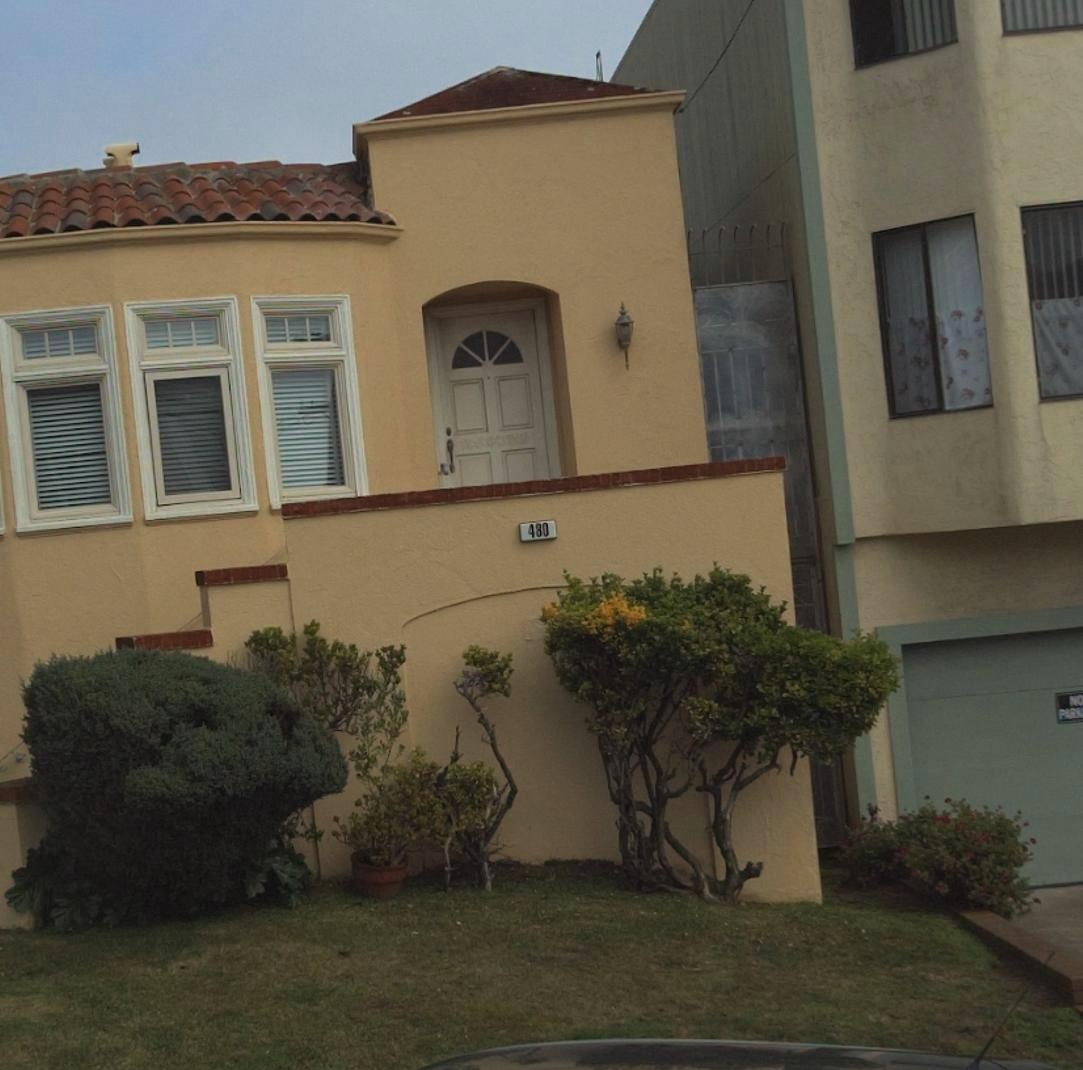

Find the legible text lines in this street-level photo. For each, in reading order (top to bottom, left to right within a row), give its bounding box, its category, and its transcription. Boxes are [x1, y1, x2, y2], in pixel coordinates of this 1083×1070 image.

[527, 521, 551, 539] StreetNumber: 480